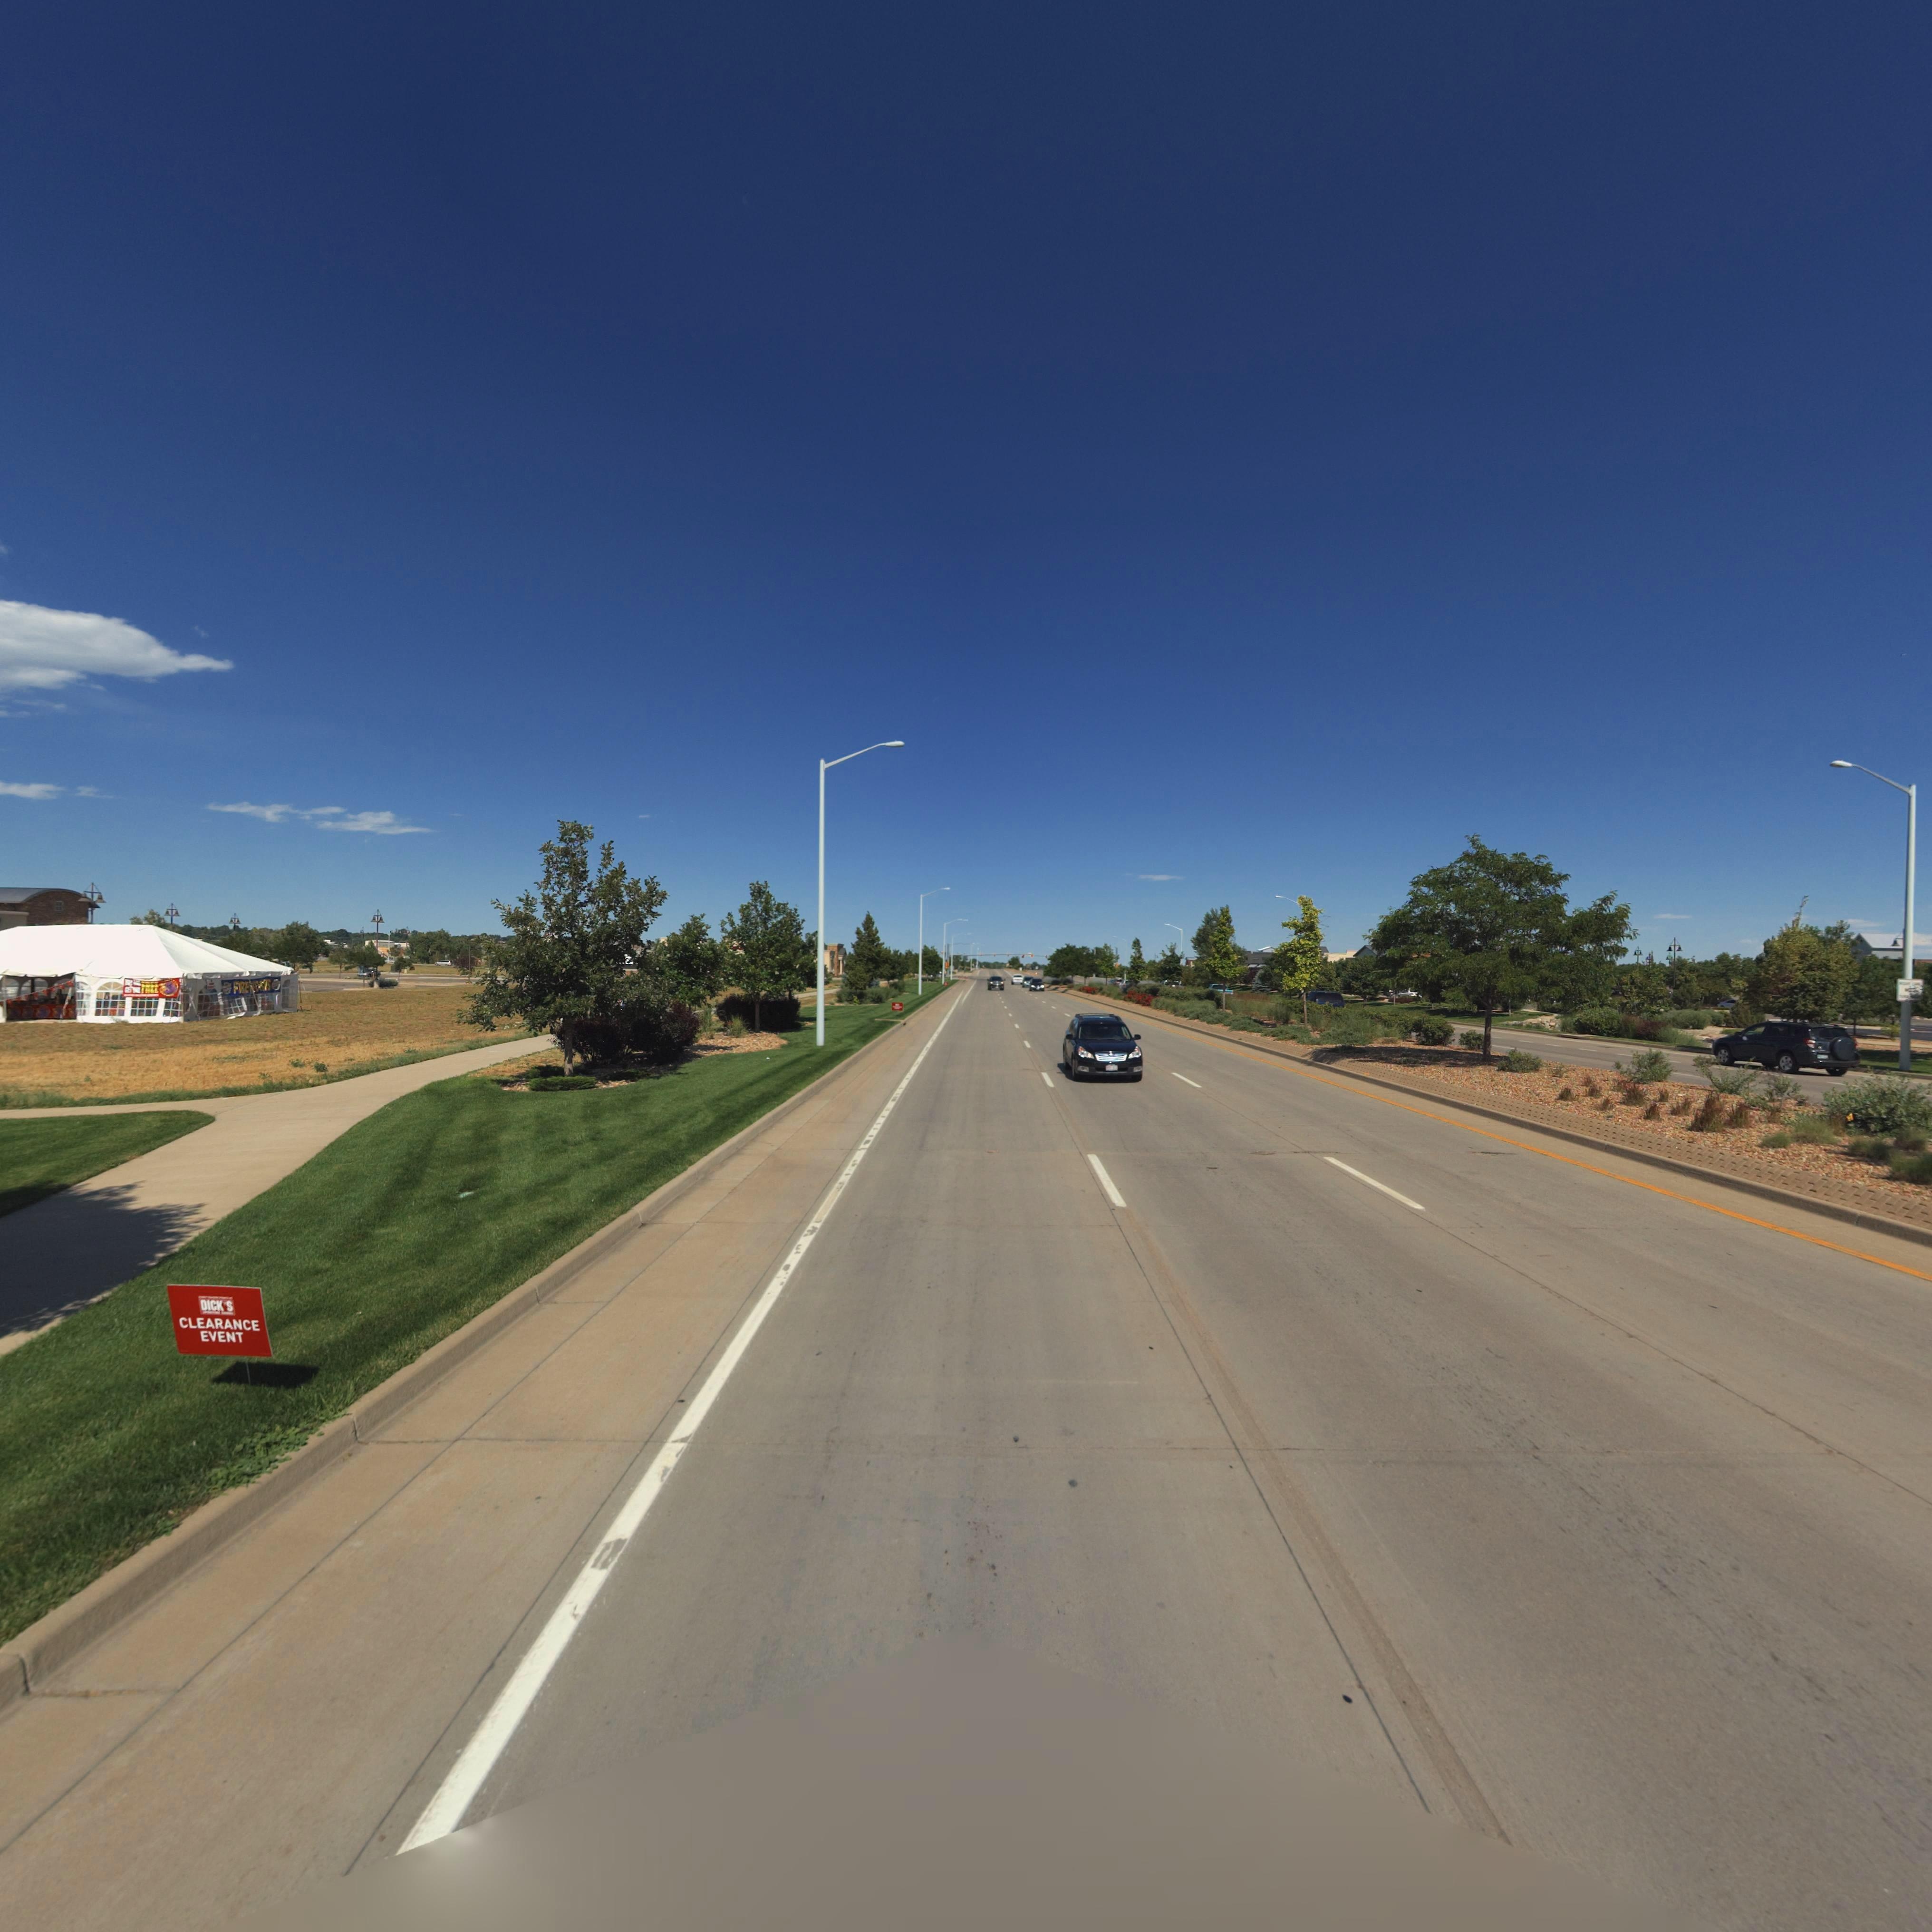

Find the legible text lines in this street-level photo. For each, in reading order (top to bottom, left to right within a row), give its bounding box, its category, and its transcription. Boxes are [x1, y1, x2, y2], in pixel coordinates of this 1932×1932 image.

[199, 1298, 233, 1311] BusinessName: DICK*S